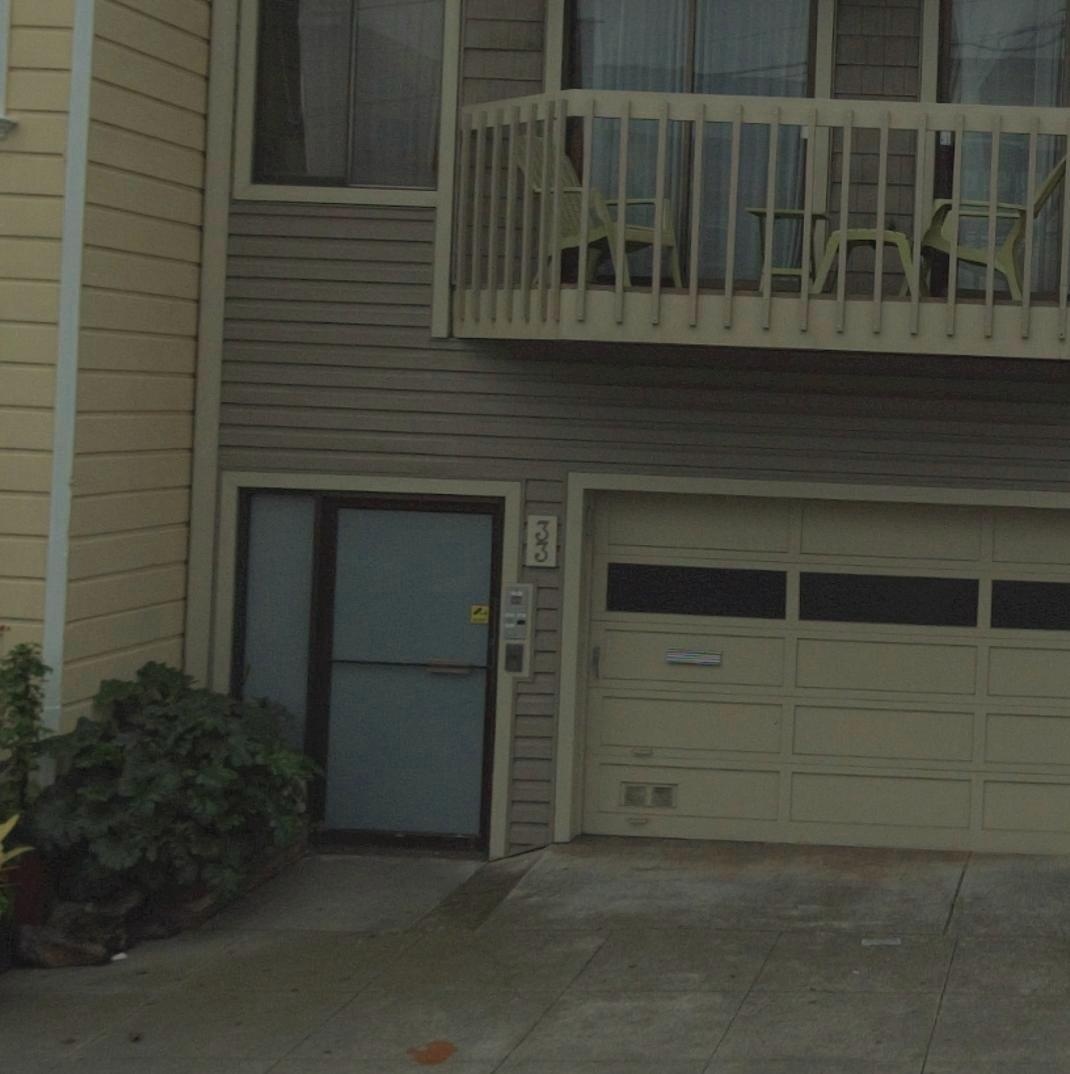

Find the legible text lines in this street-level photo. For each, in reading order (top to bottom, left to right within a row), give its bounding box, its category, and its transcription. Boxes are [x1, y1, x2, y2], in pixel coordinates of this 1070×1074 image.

[531, 519, 551, 563] StreetNumber: 33